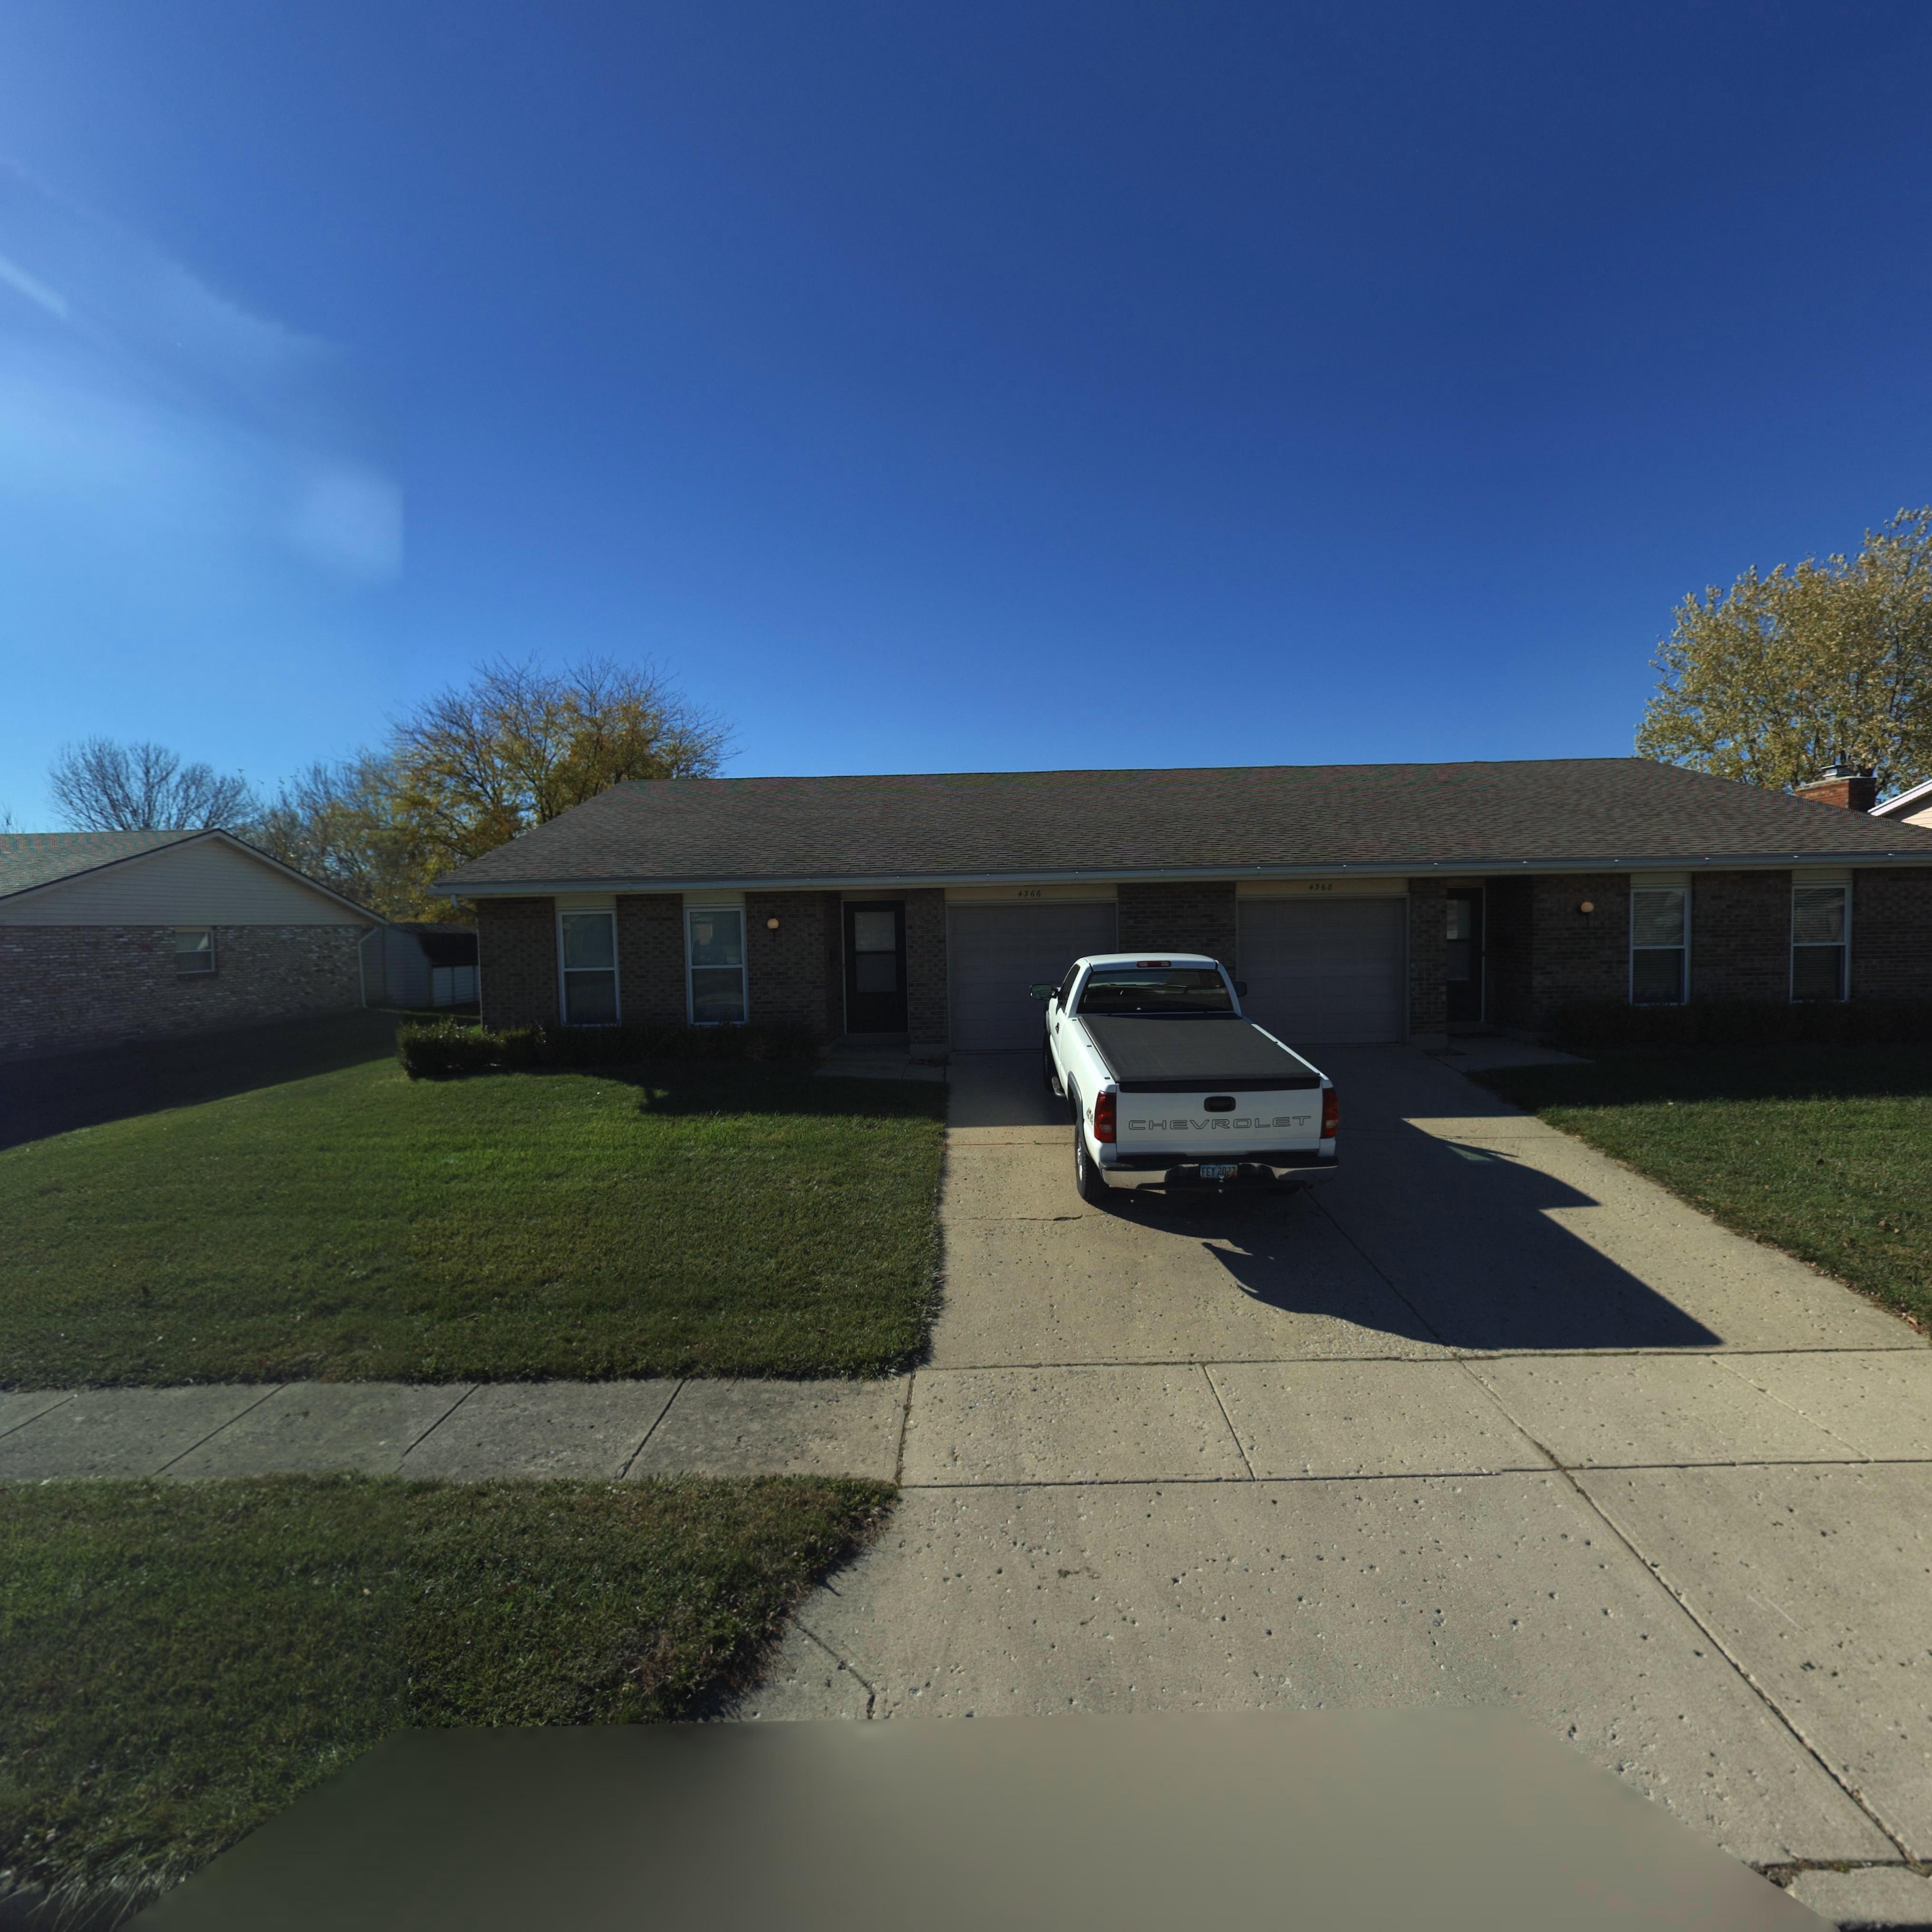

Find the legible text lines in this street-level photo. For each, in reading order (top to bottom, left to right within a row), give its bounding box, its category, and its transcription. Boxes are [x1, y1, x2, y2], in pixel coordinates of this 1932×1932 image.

[1307, 883, 1333, 891] StreetNumber: 4368
[1016, 889, 1041, 898] StreetNumber: 4366